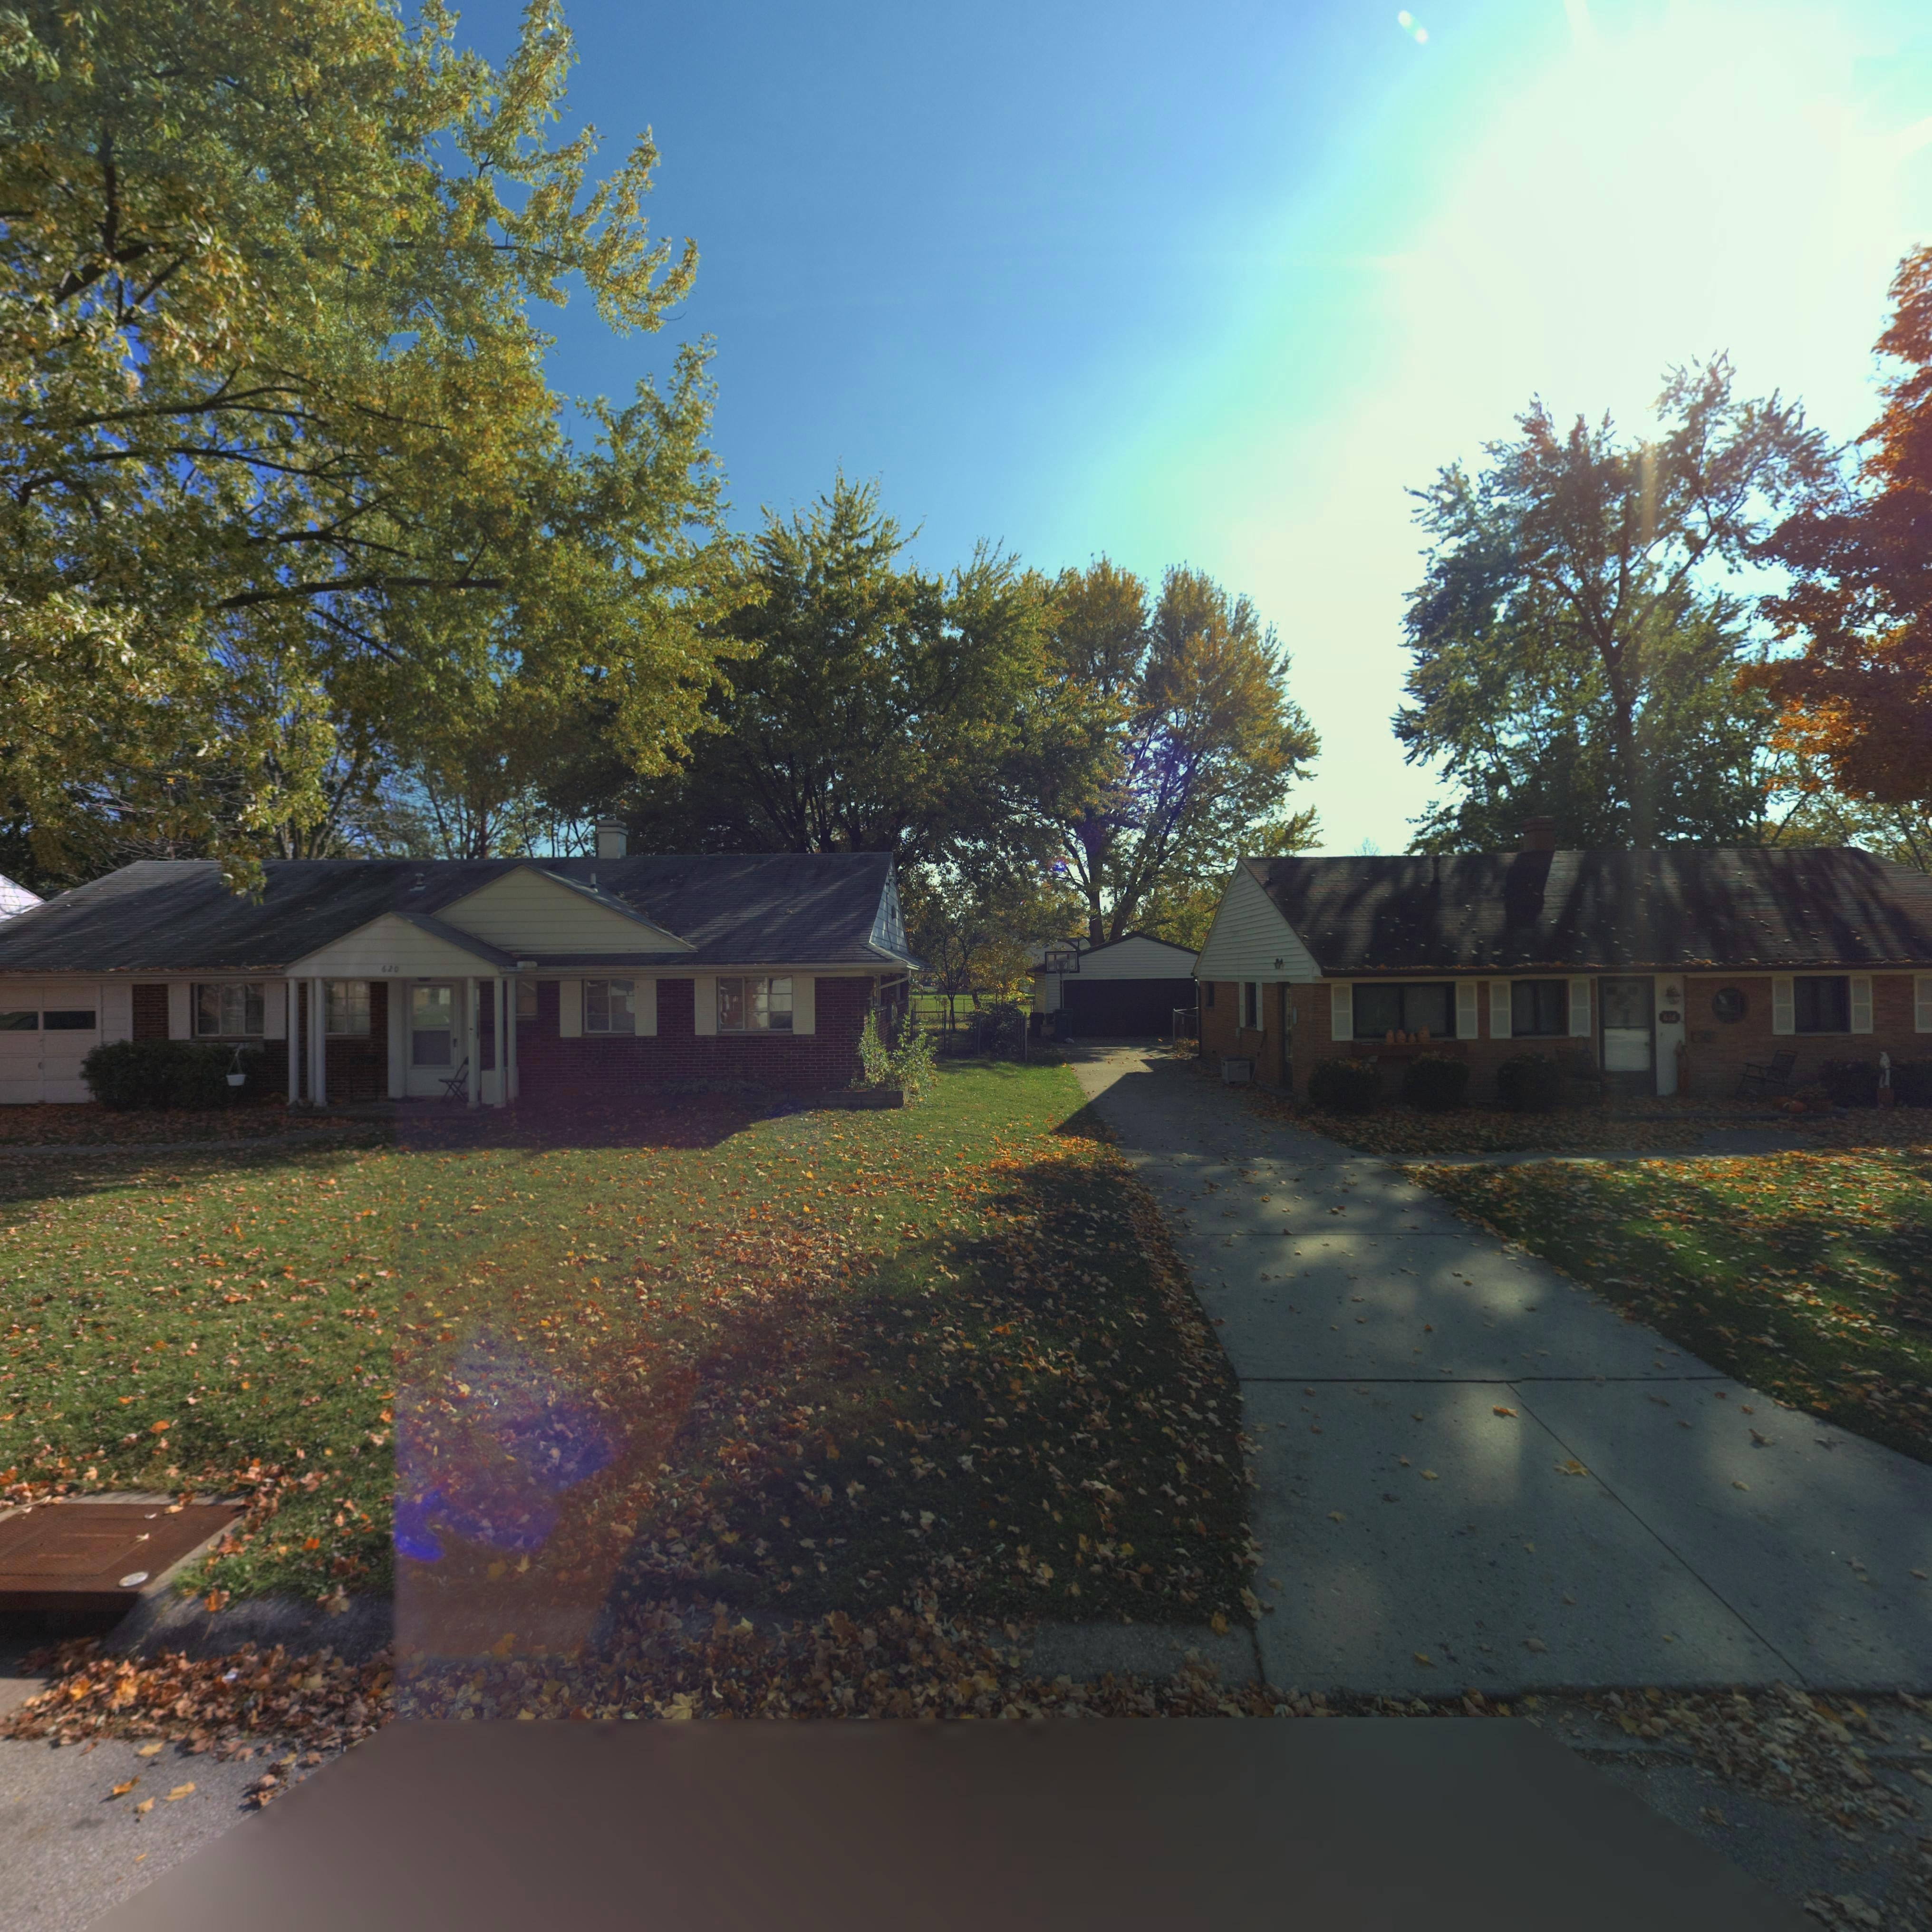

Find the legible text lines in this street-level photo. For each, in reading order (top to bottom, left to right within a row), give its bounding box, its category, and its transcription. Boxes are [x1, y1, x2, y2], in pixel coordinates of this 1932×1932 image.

[380, 965, 399, 973] StreetNumber: 620
[1662, 1014, 1677, 1021] StreetNumber: 616